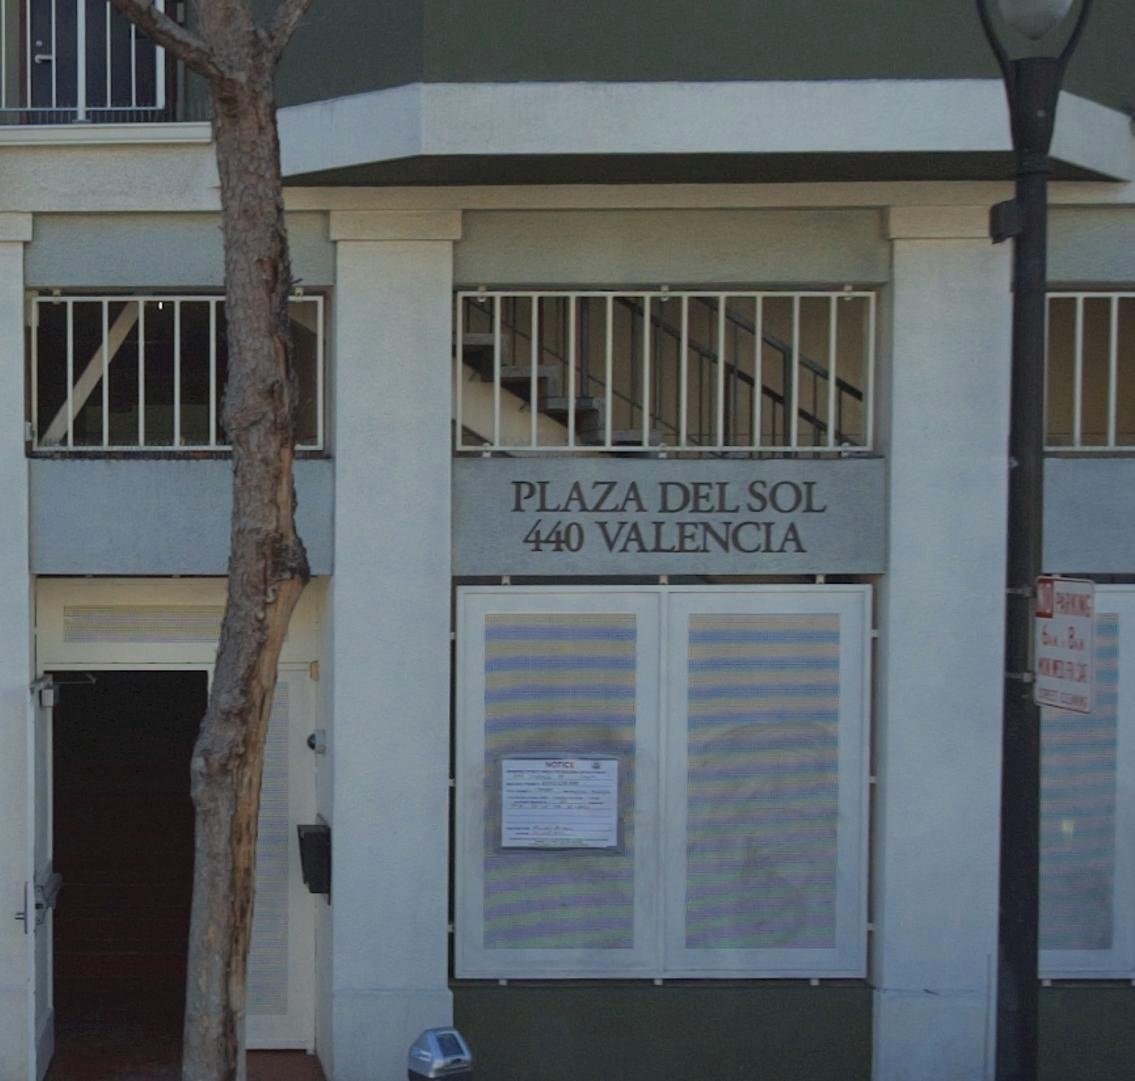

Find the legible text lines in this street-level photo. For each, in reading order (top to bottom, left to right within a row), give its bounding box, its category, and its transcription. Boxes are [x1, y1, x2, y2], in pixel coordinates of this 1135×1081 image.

[509, 478, 828, 512] BusinessName: PLAZA DEL SOL
[521, 518, 586, 554] StreetNumber: 440
[591, 519, 808, 553] StreetName: VALENCIA
[1036, 582, 1093, 619] None: NO PARKING
[1040, 621, 1052, 646] None: 6
[1065, 624, 1077, 651] None: 8
[544, 760, 577, 769] None: NOTICE